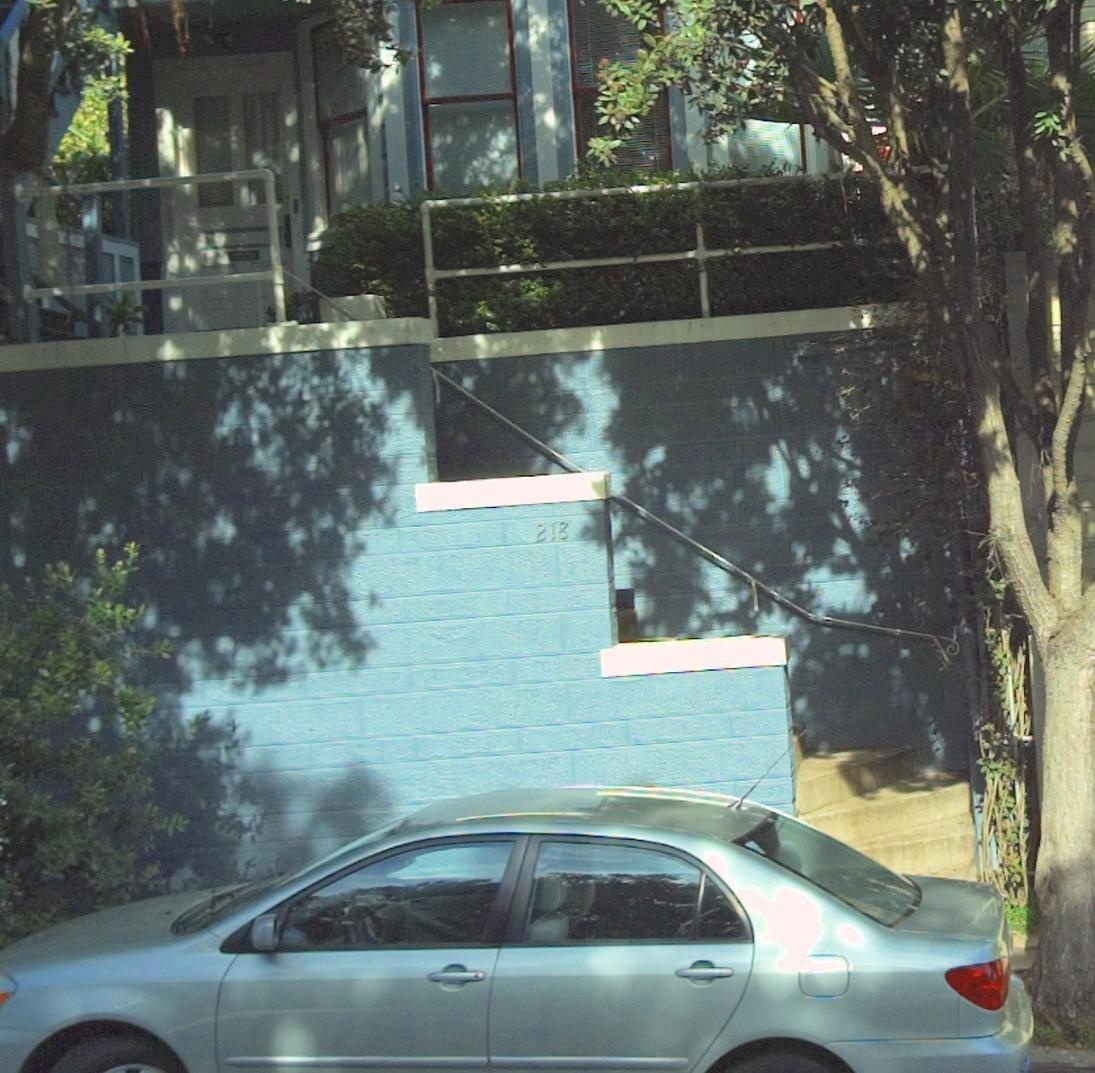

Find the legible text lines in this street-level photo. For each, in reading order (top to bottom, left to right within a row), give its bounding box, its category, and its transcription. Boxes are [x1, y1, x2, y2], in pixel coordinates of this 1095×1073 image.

[535, 521, 570, 542] StreetNumber: 218